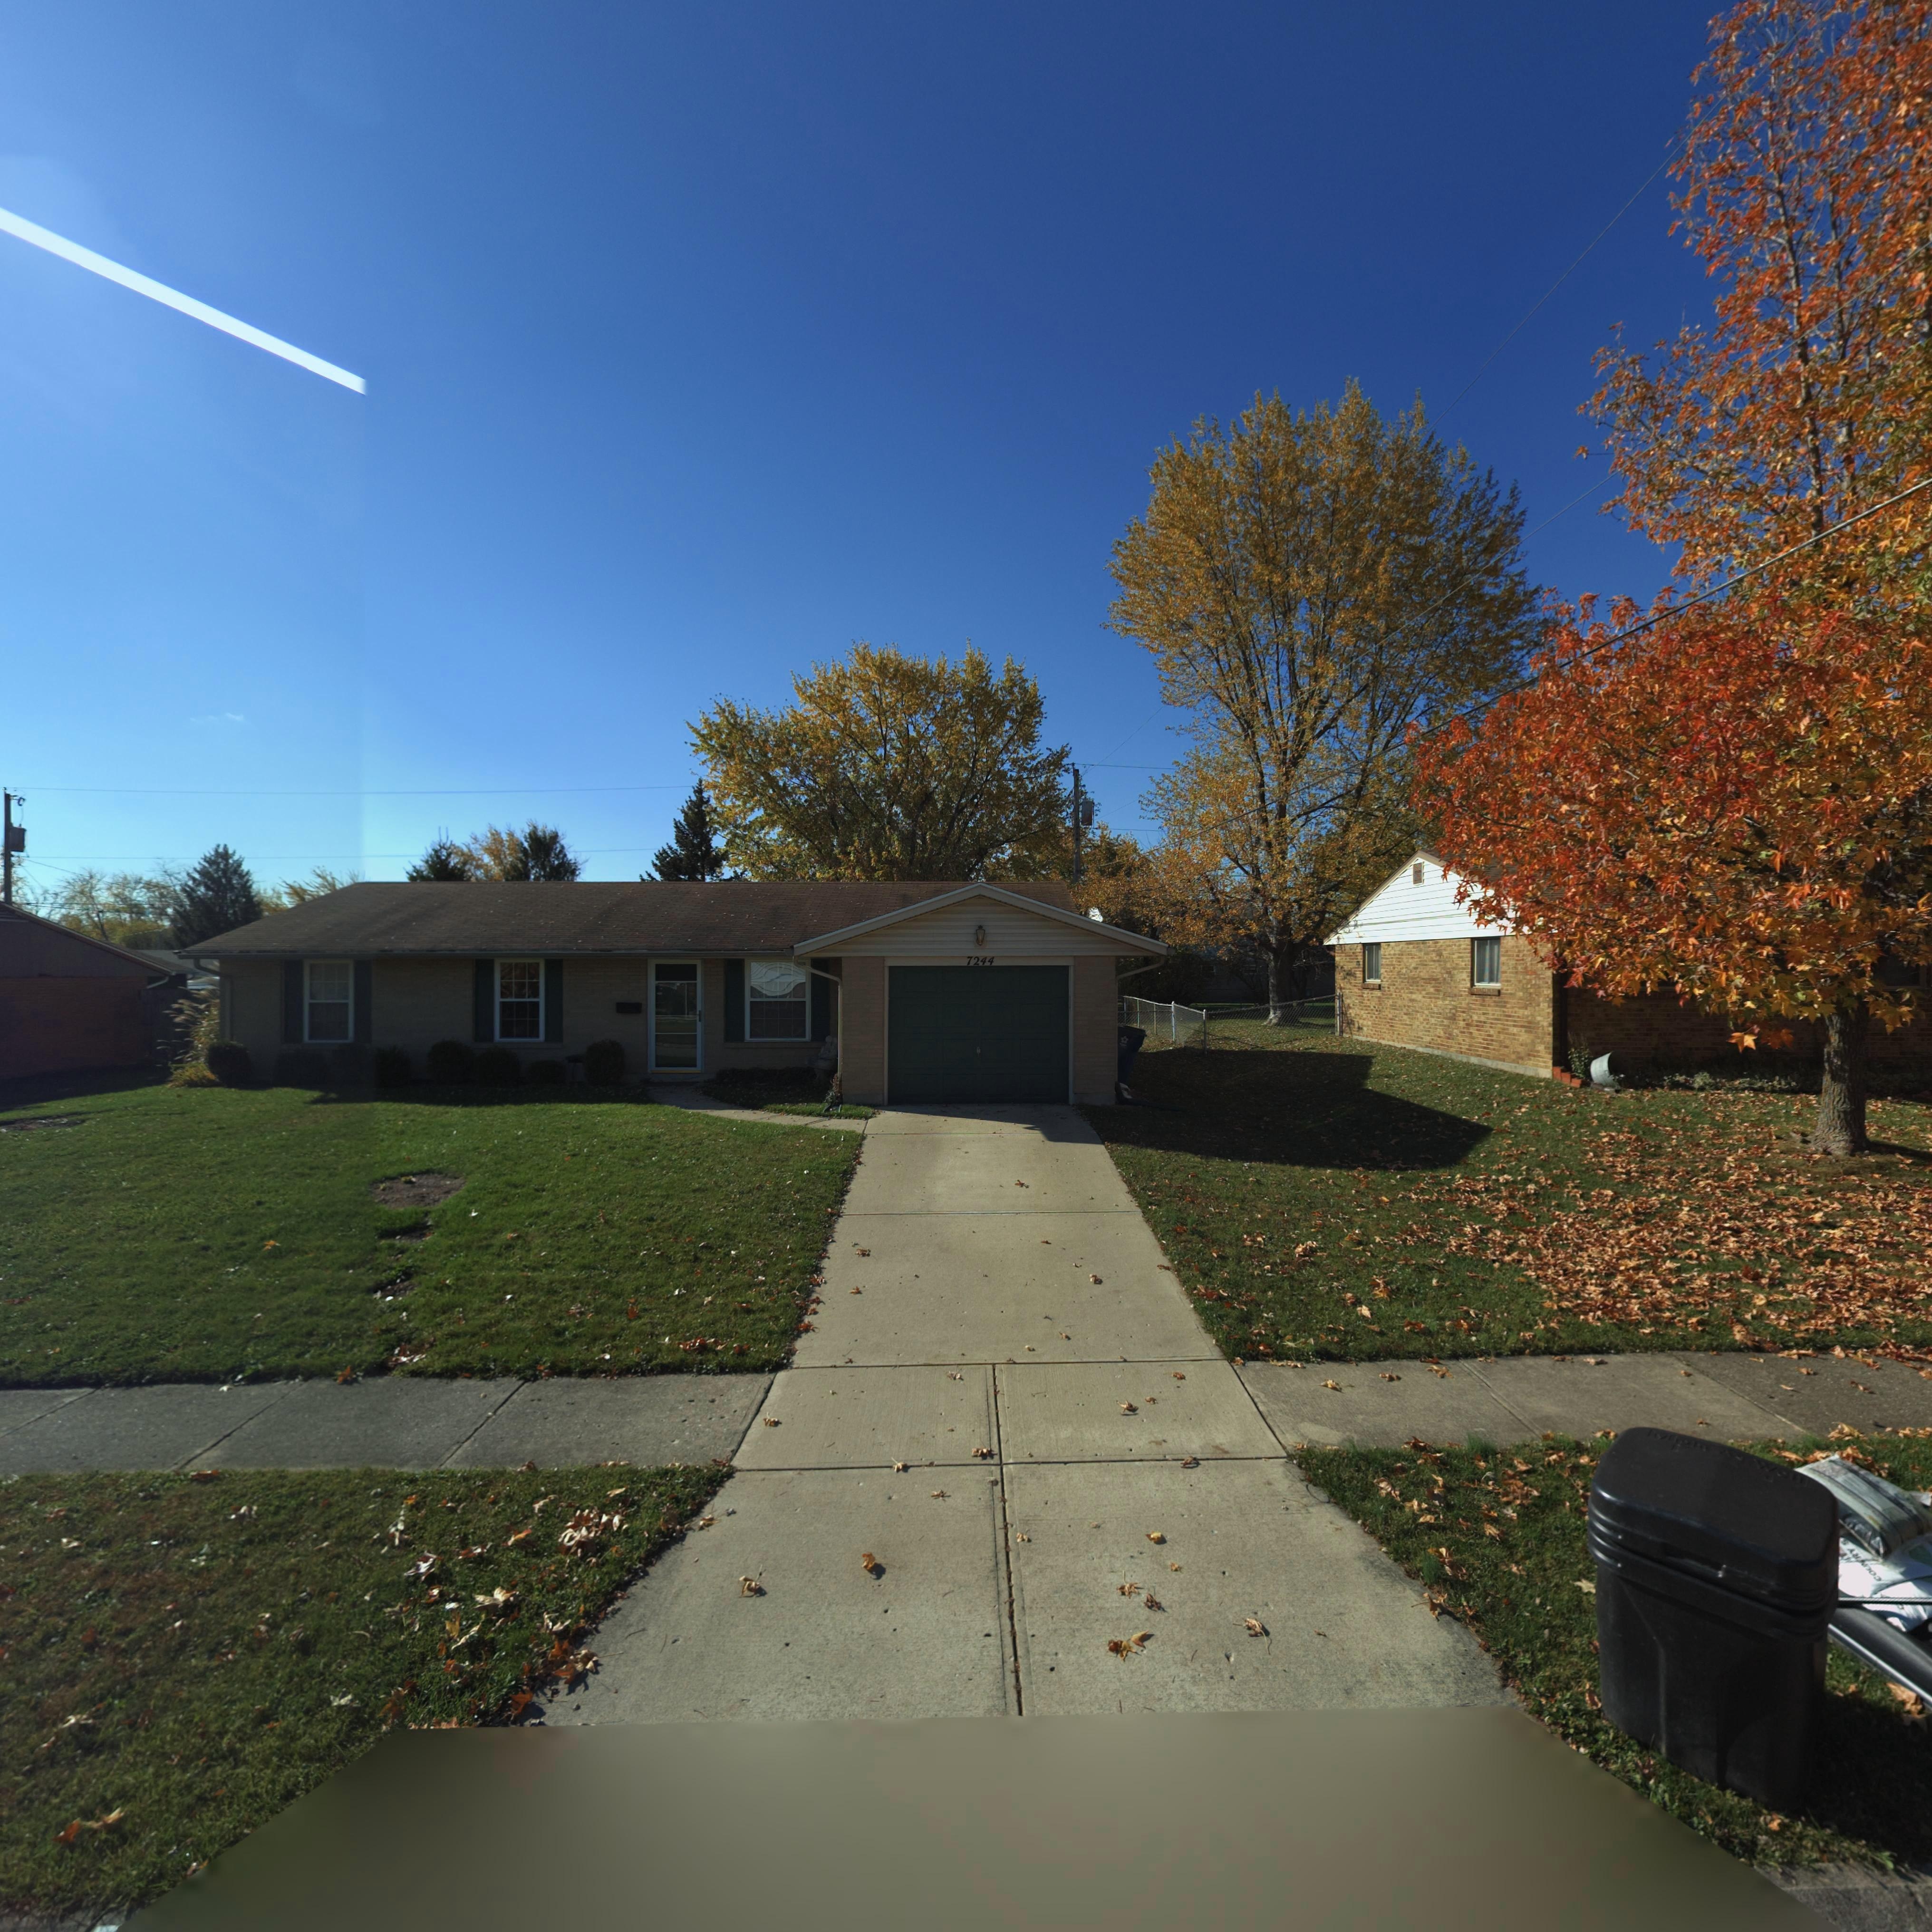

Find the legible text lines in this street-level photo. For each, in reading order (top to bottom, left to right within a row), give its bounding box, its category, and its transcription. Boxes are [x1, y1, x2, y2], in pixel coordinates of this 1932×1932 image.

[966, 955, 995, 967] StreetNumber: 7244